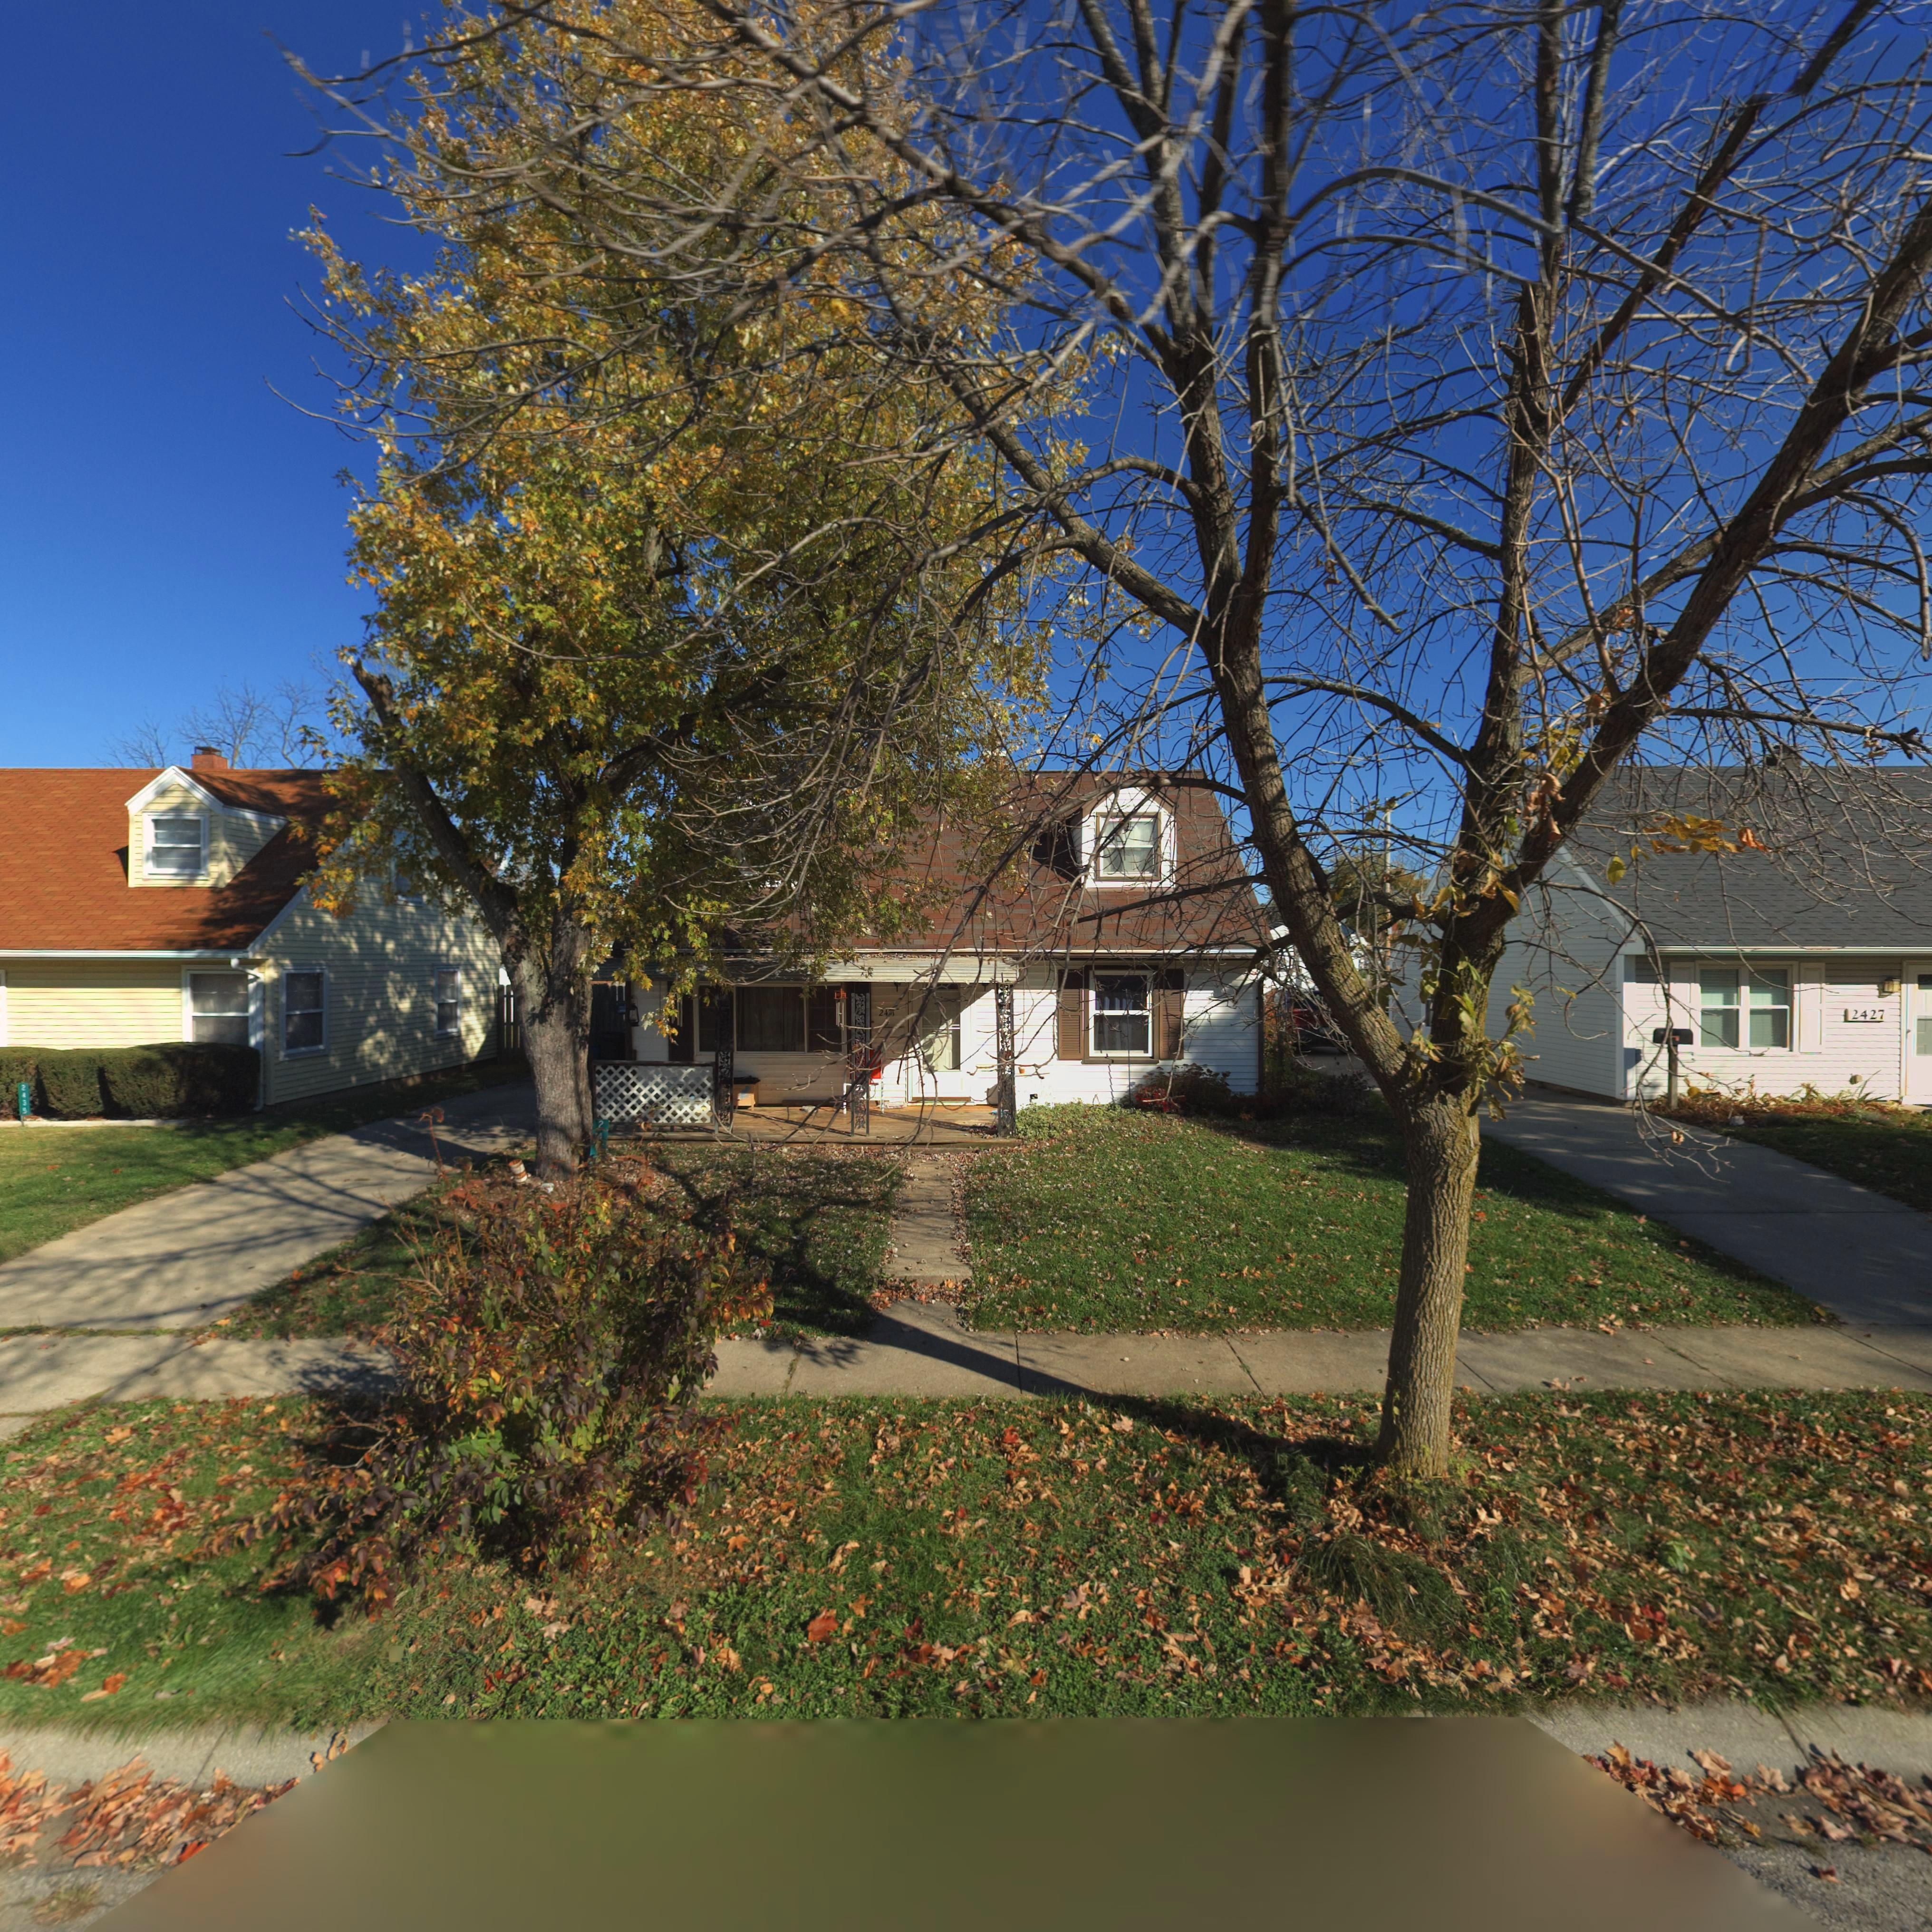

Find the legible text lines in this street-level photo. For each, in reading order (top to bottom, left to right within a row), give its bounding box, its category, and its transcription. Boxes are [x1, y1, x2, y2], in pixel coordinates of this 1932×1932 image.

[878, 1008, 889, 1017] StreetNumber: 24
[1850, 1008, 1886, 1021] StreetNumber: 2427